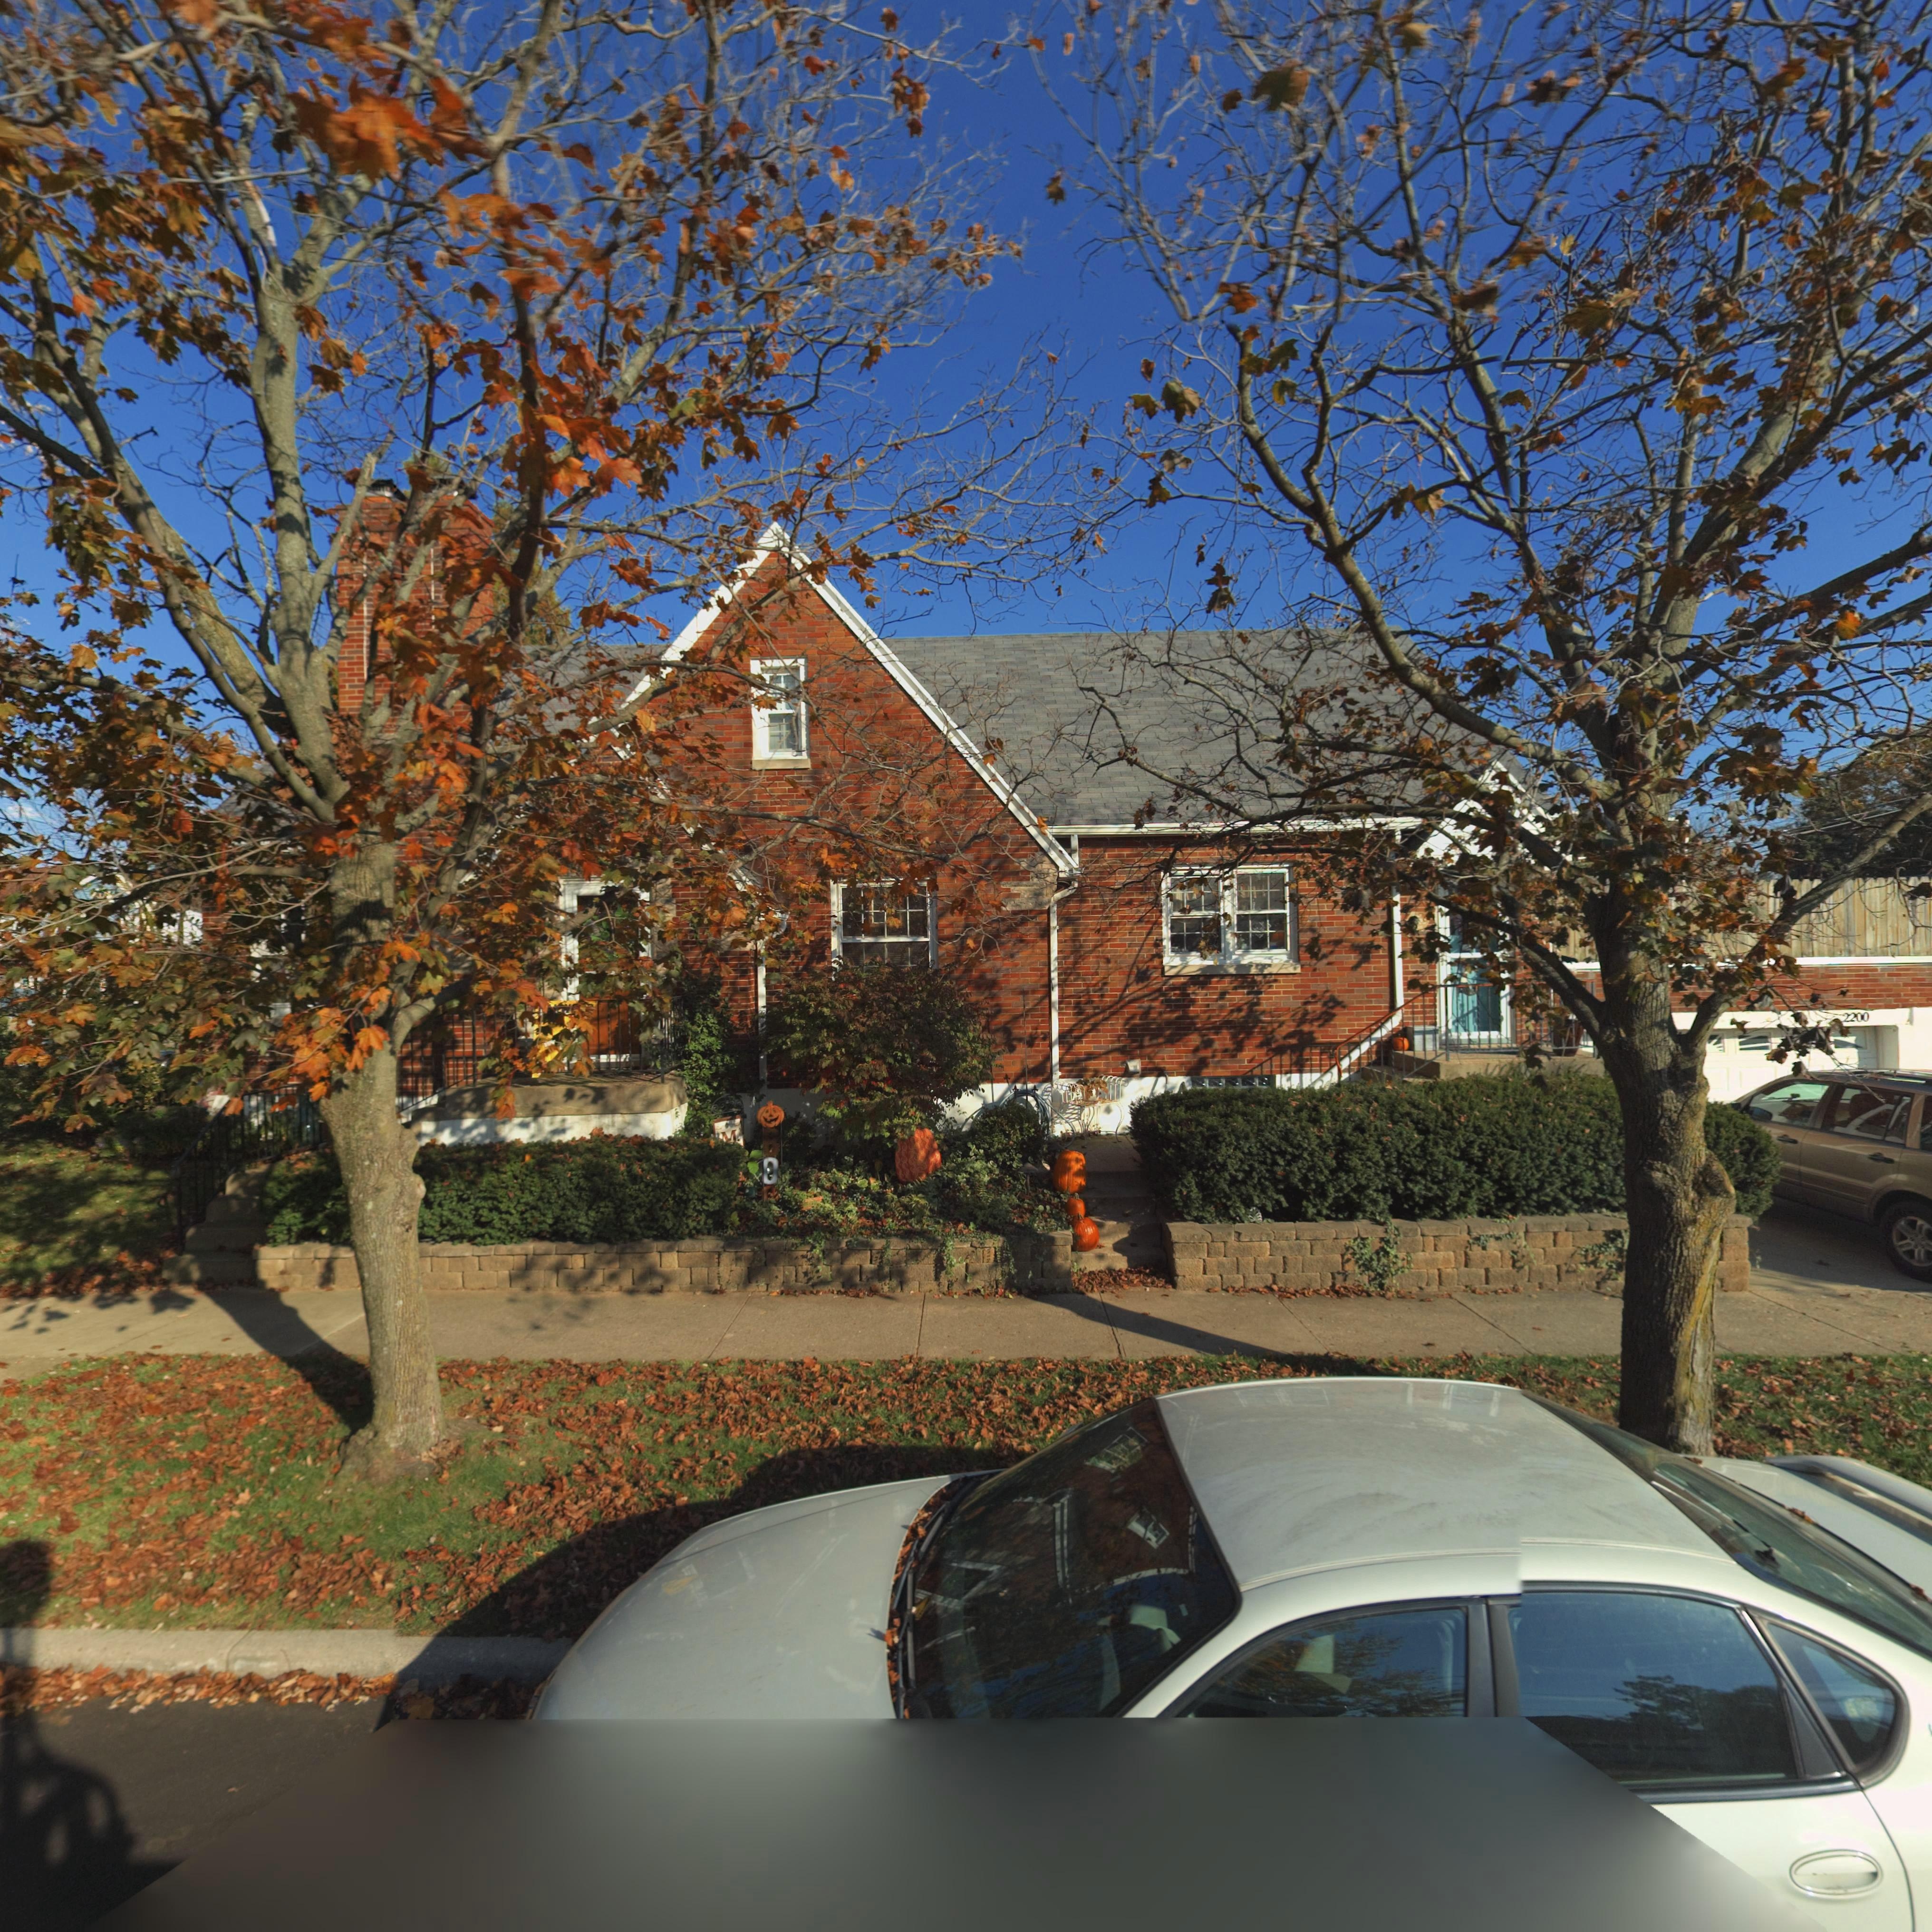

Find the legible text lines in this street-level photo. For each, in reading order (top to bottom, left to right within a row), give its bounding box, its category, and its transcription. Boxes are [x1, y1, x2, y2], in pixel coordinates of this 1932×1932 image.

[1841, 1010, 1871, 1024] StreetNumber: 2200